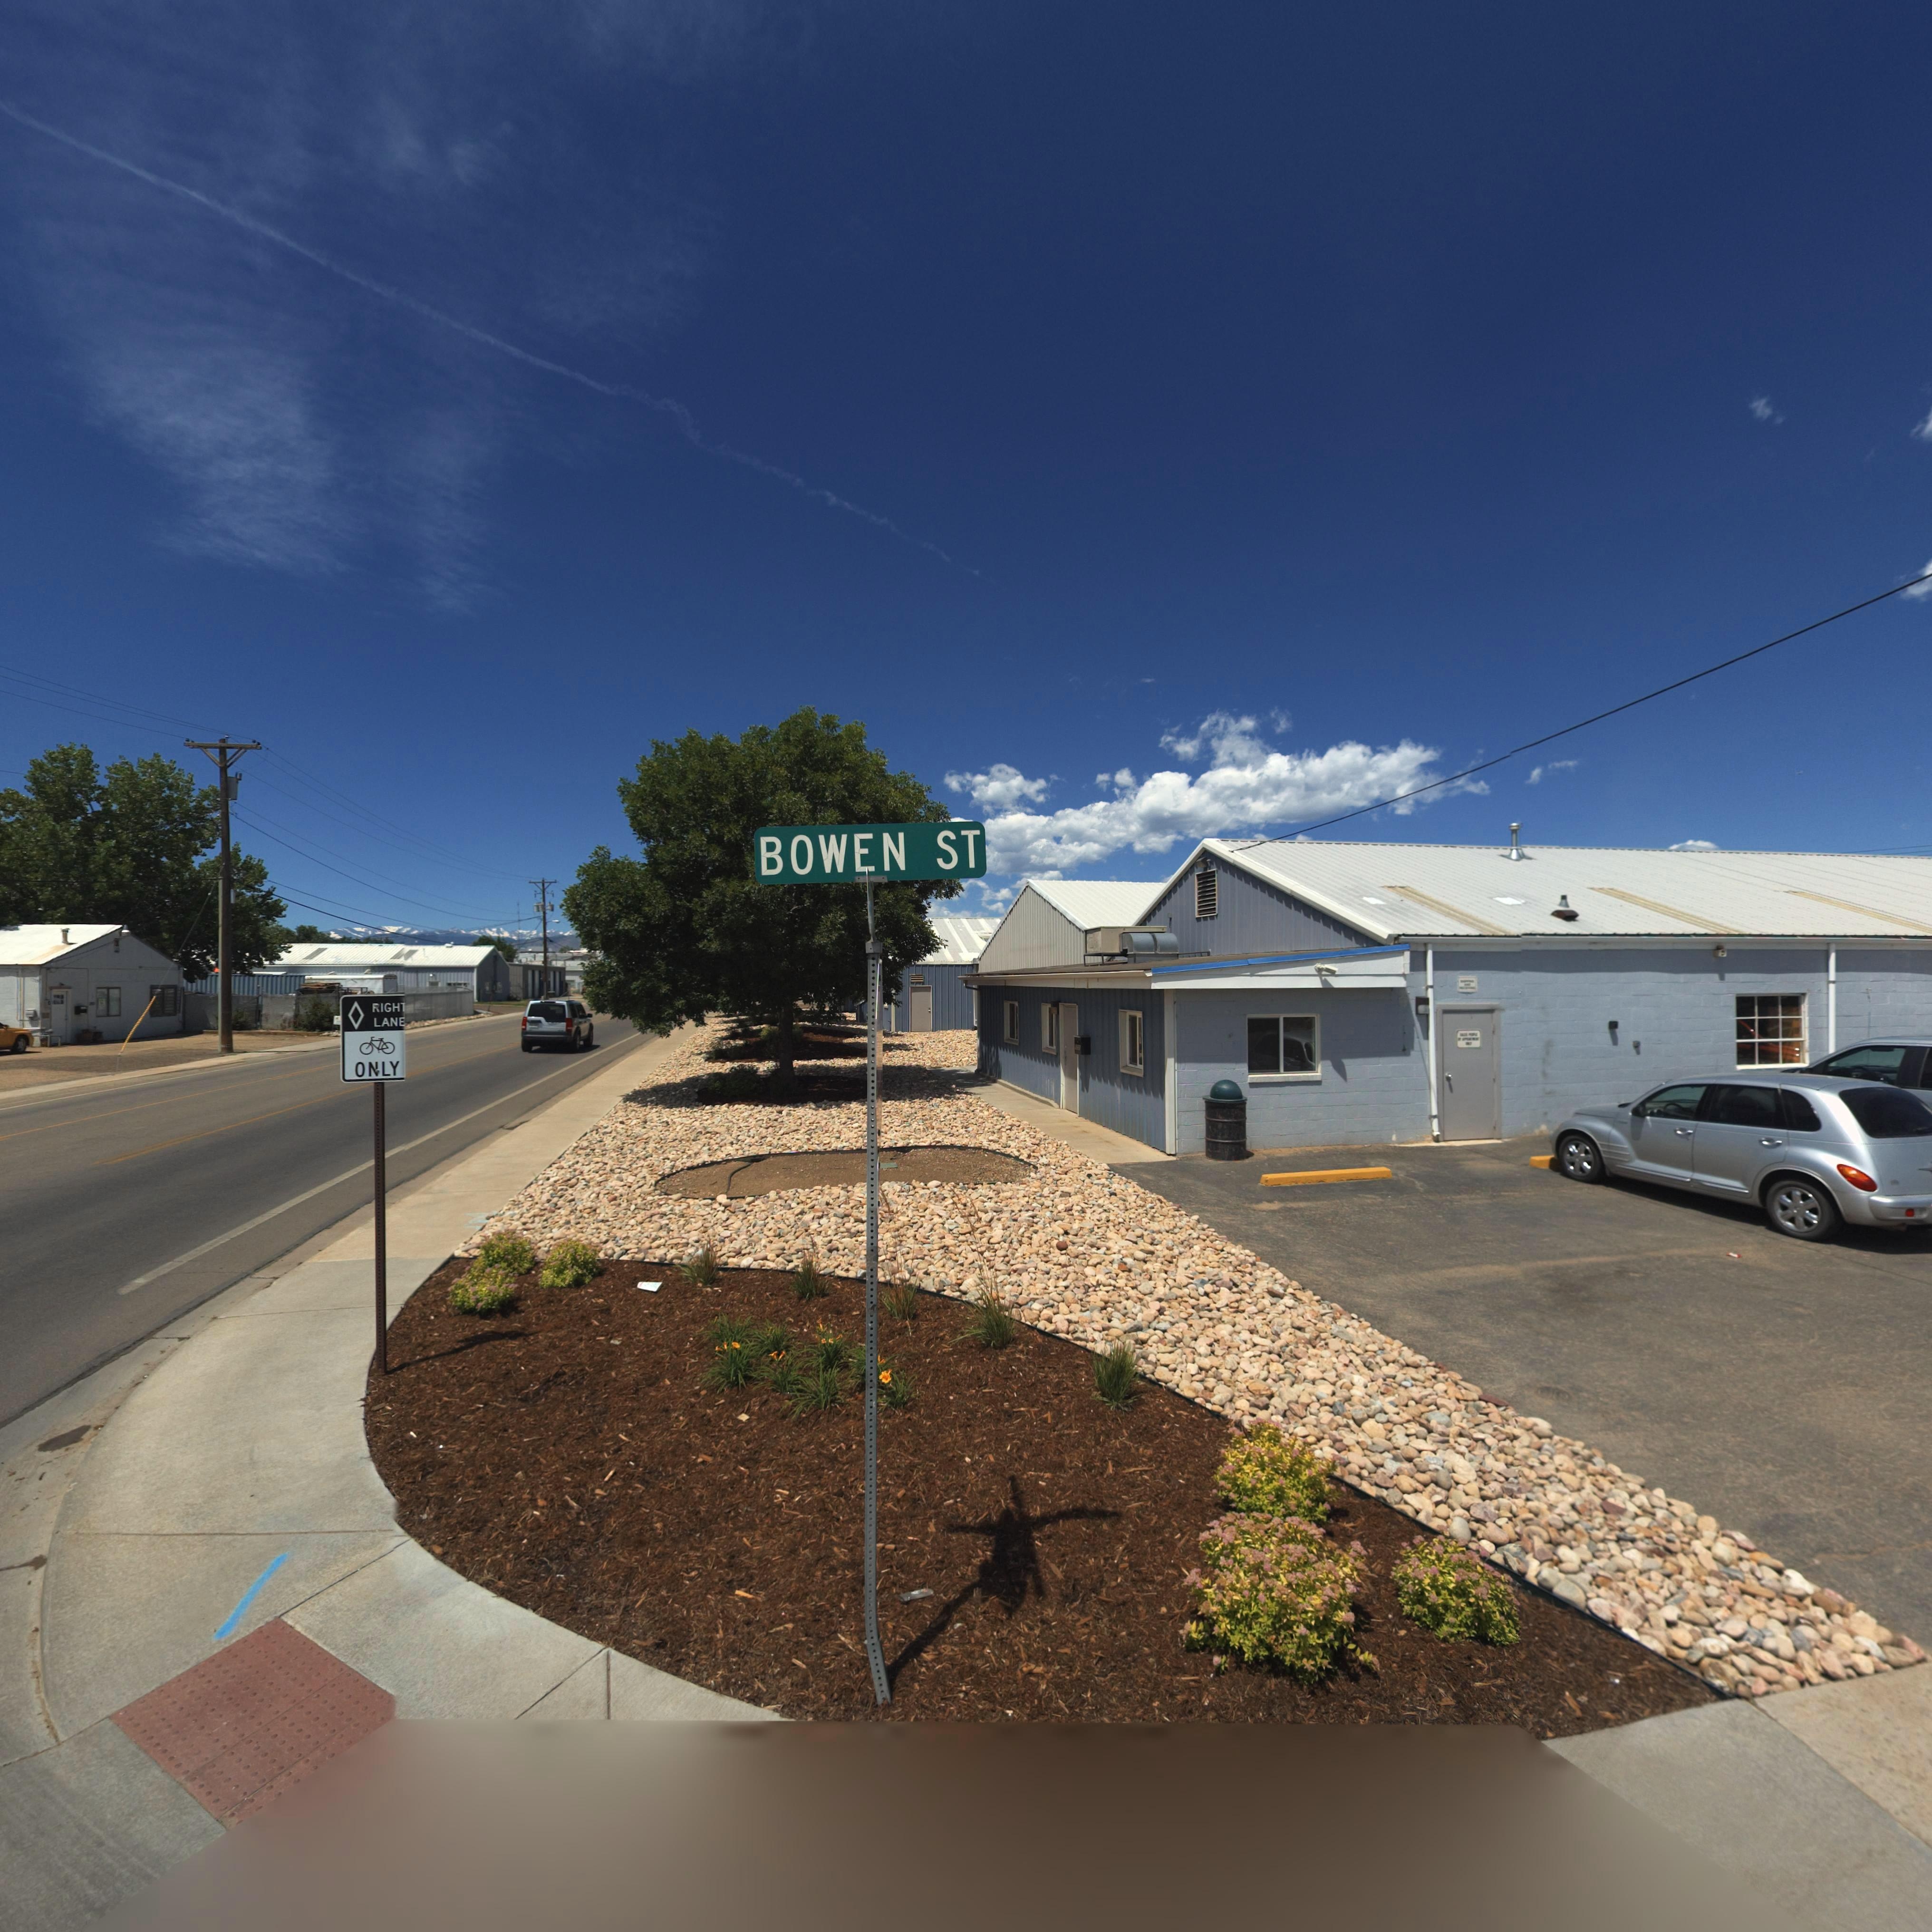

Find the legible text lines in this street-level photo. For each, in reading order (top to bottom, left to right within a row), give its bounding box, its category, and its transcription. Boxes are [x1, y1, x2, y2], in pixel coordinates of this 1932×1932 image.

[759, 829, 981, 876] StreetName: BOWEN ST